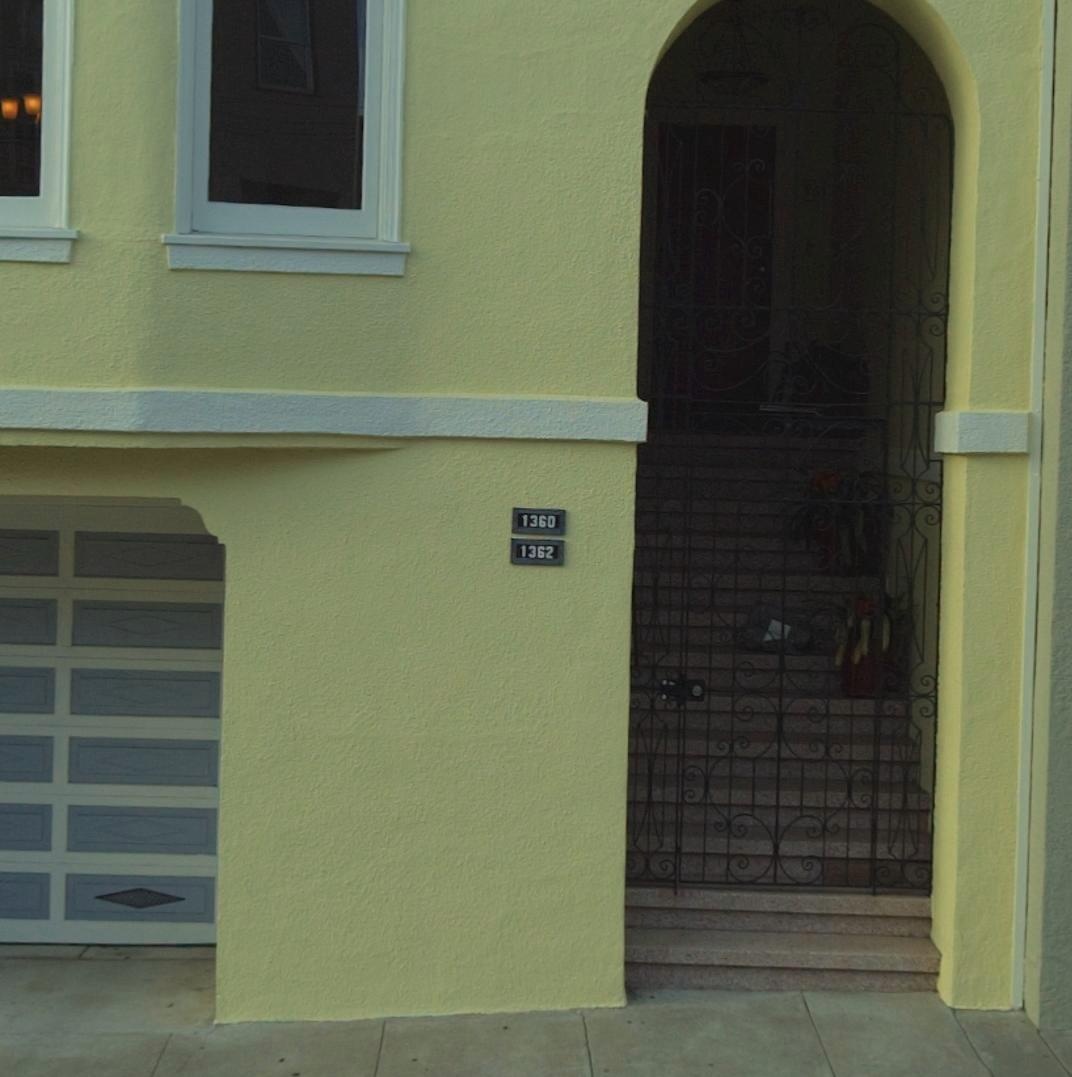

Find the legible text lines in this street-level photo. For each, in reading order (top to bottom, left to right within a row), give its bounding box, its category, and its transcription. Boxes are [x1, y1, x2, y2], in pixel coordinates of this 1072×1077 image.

[520, 512, 558, 531] StreetNumber: 1360
[518, 542, 556, 561] StreetNumber: 1362